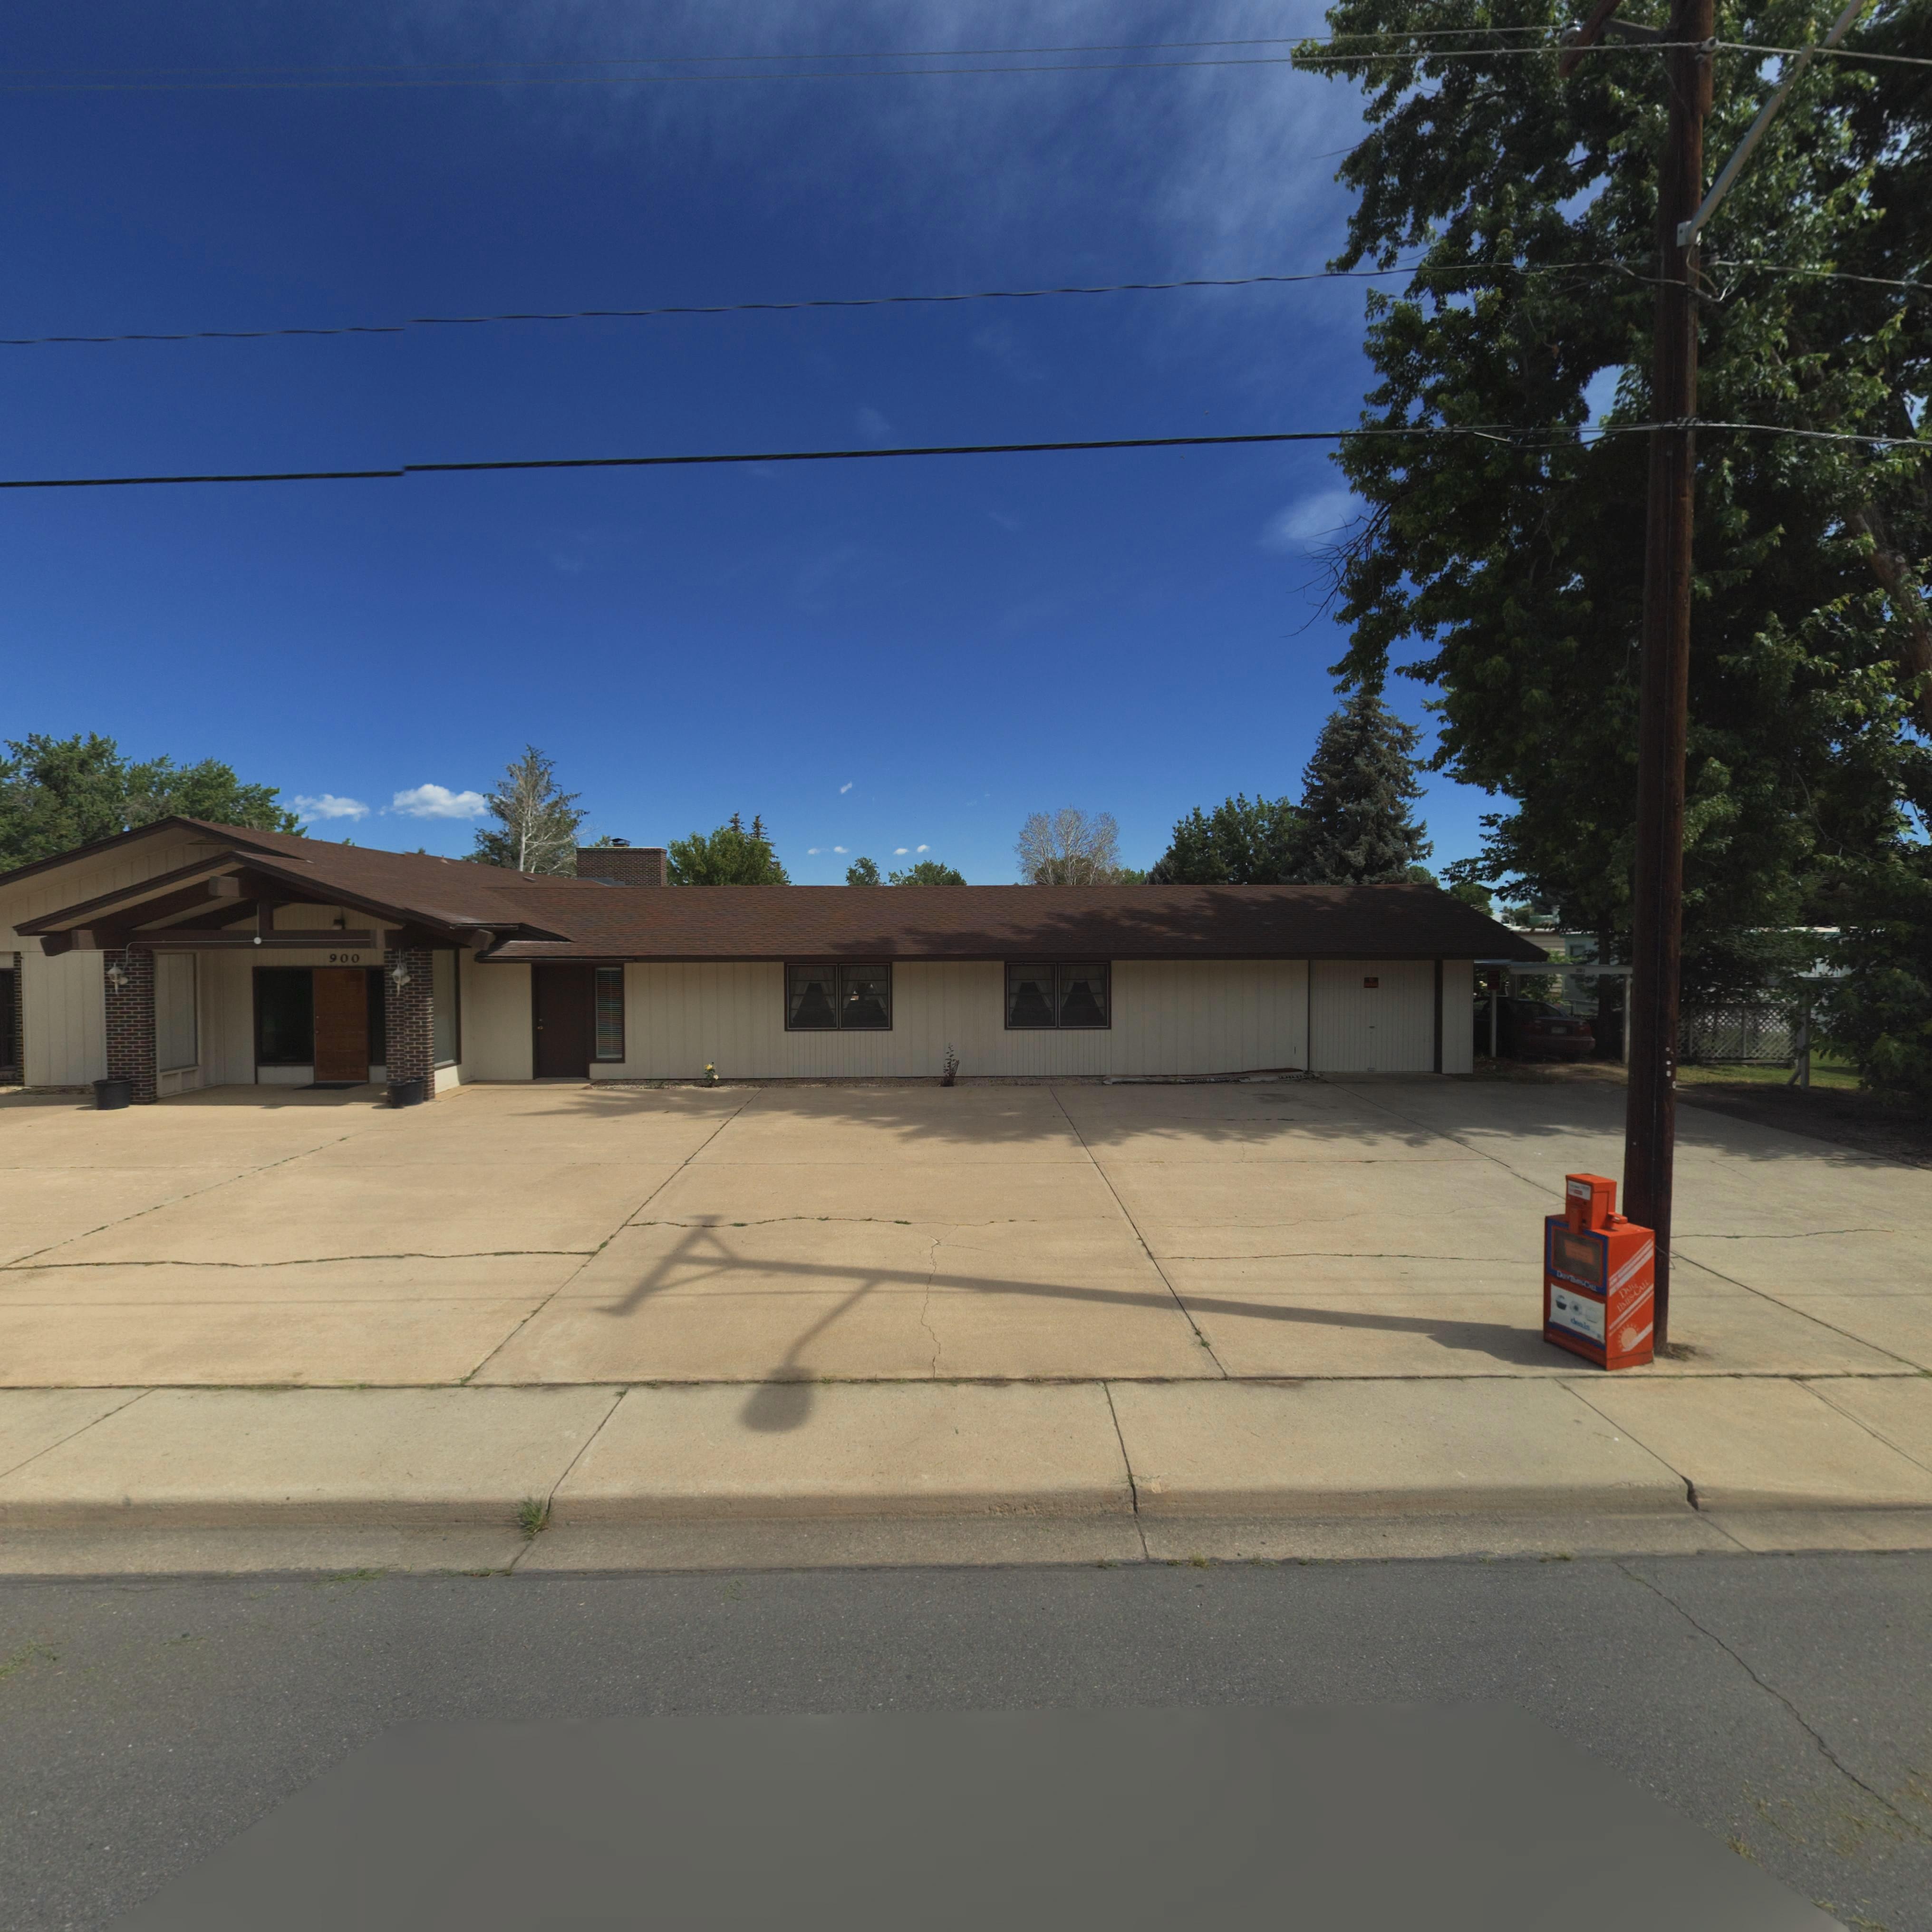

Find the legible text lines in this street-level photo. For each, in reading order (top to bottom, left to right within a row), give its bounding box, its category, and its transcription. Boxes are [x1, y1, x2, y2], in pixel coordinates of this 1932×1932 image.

[328, 953, 359, 963] StreetNumber: 900
[1575, 967, 1585, 973] StreetNumber: *0*